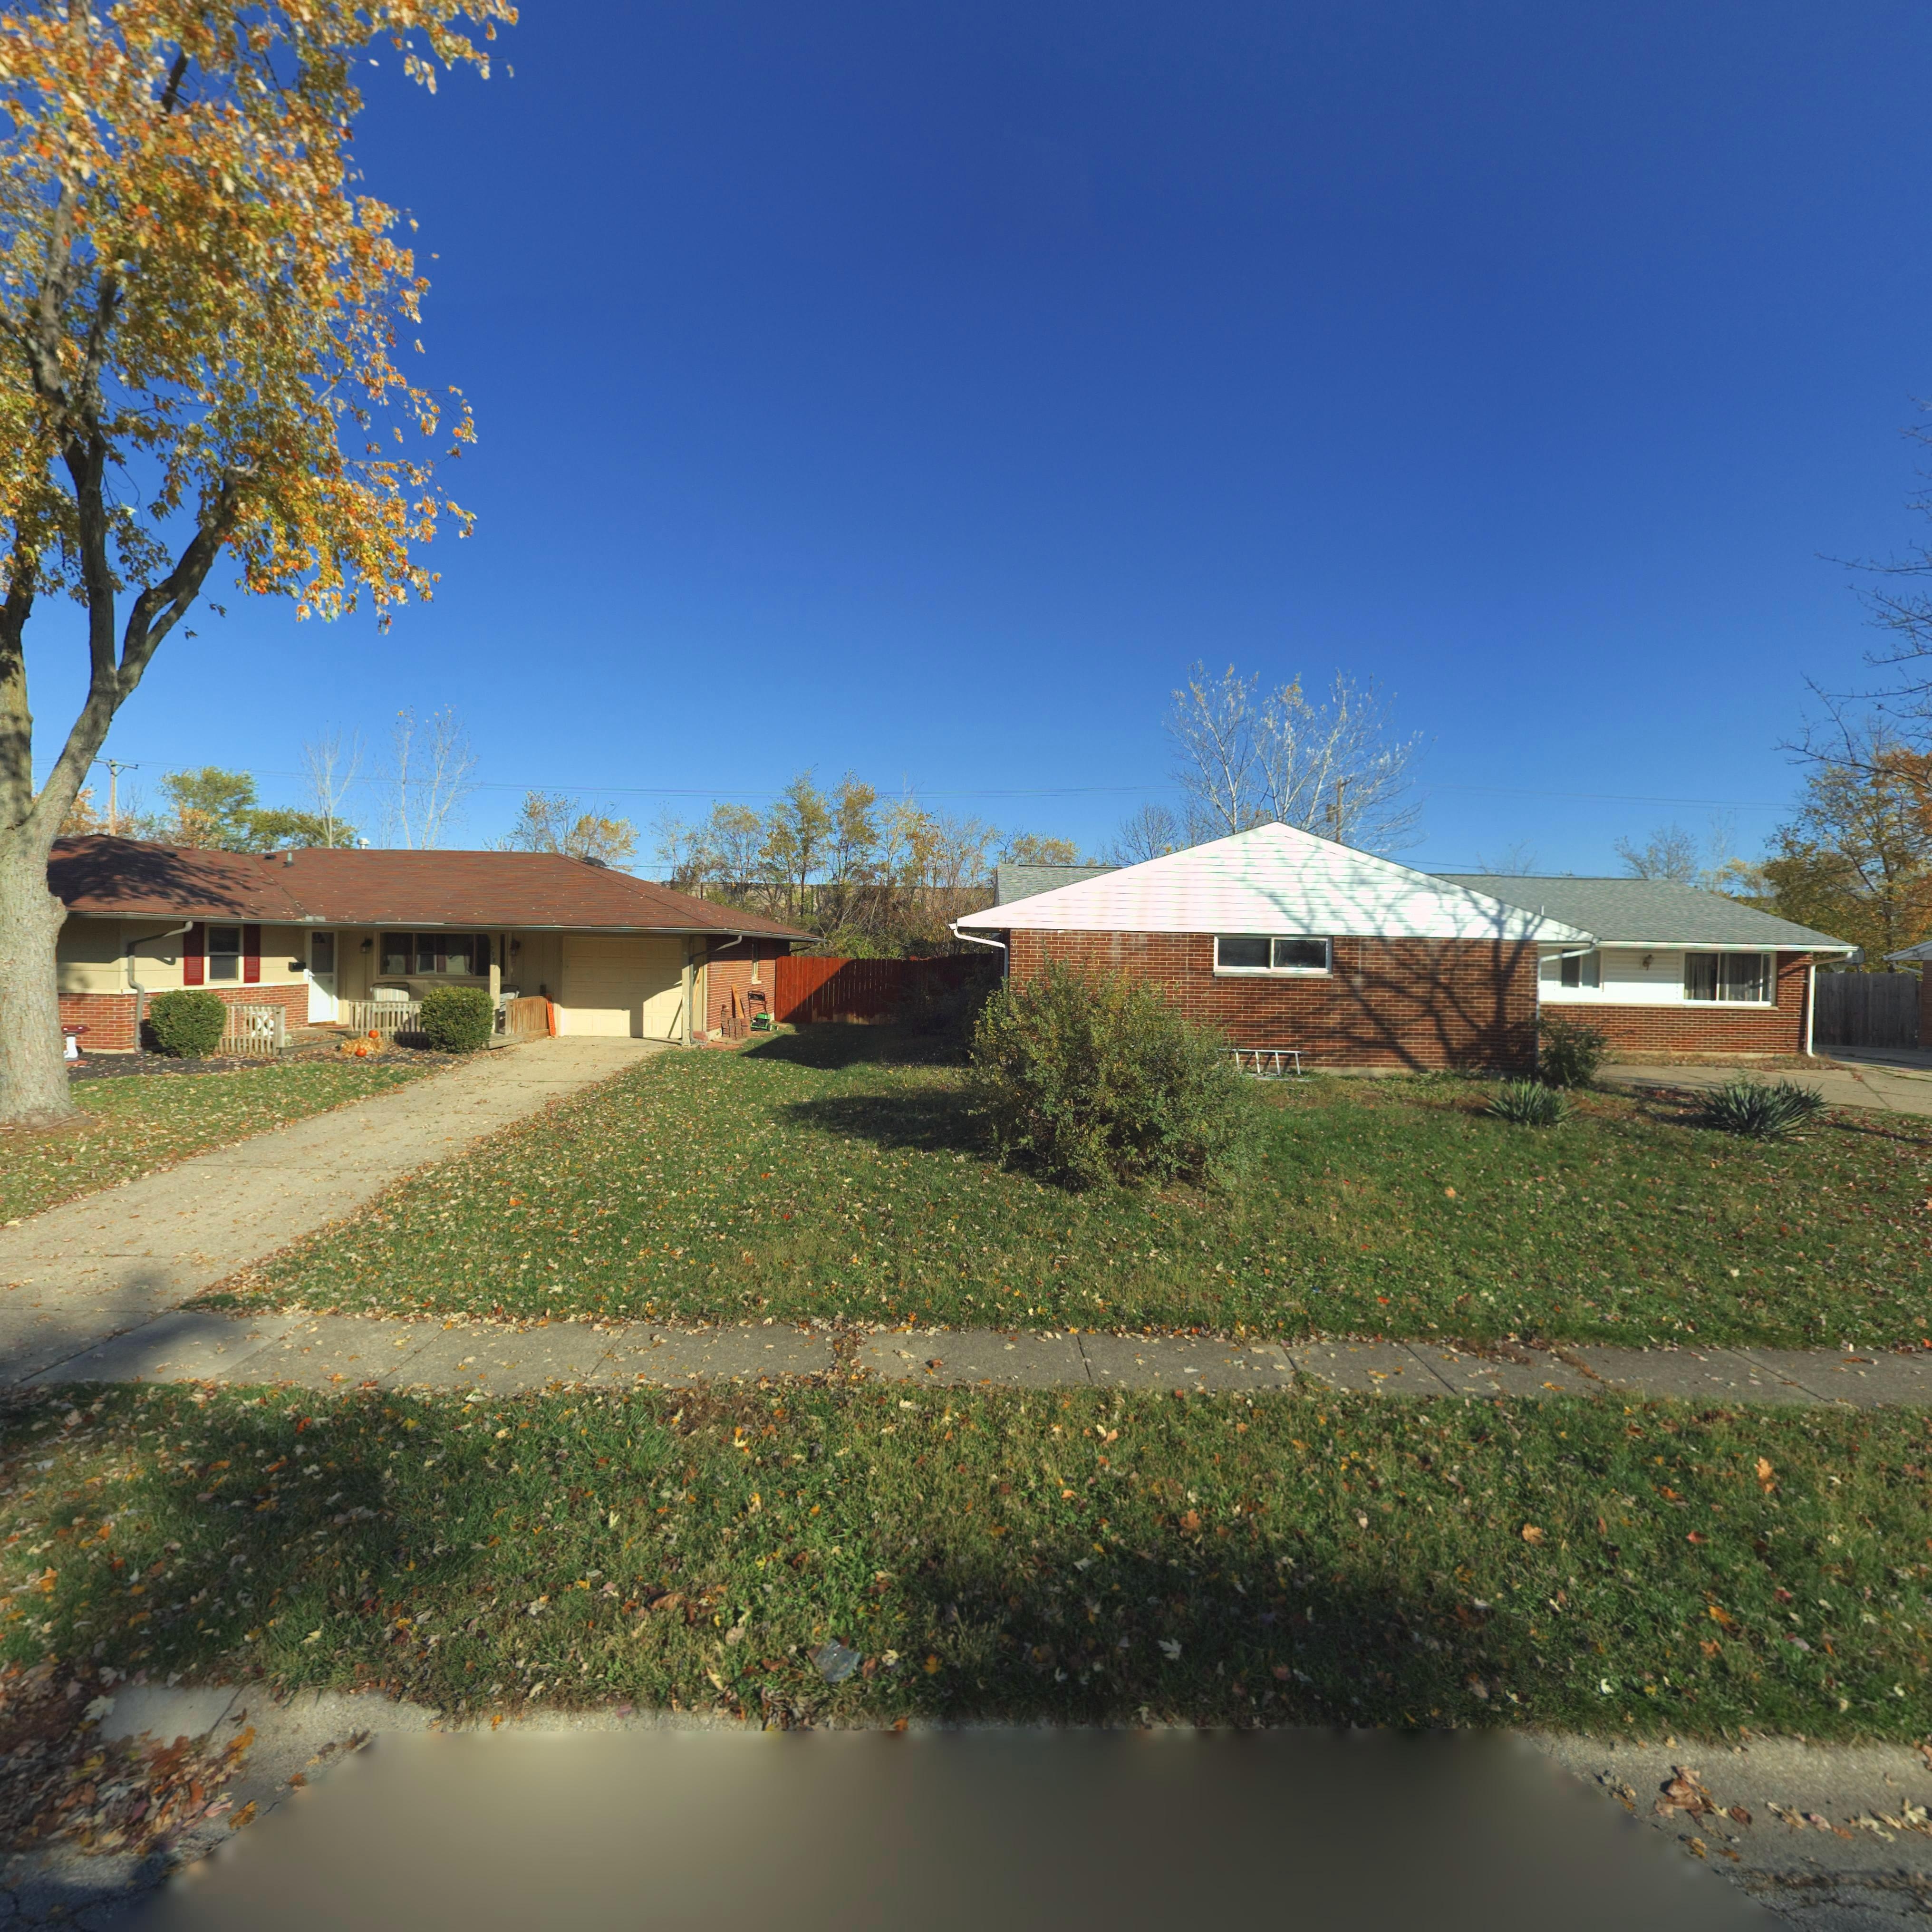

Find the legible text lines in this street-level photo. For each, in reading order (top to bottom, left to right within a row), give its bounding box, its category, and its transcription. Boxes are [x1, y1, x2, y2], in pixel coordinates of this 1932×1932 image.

[490, 946, 498, 971] StreetNumber: 7987